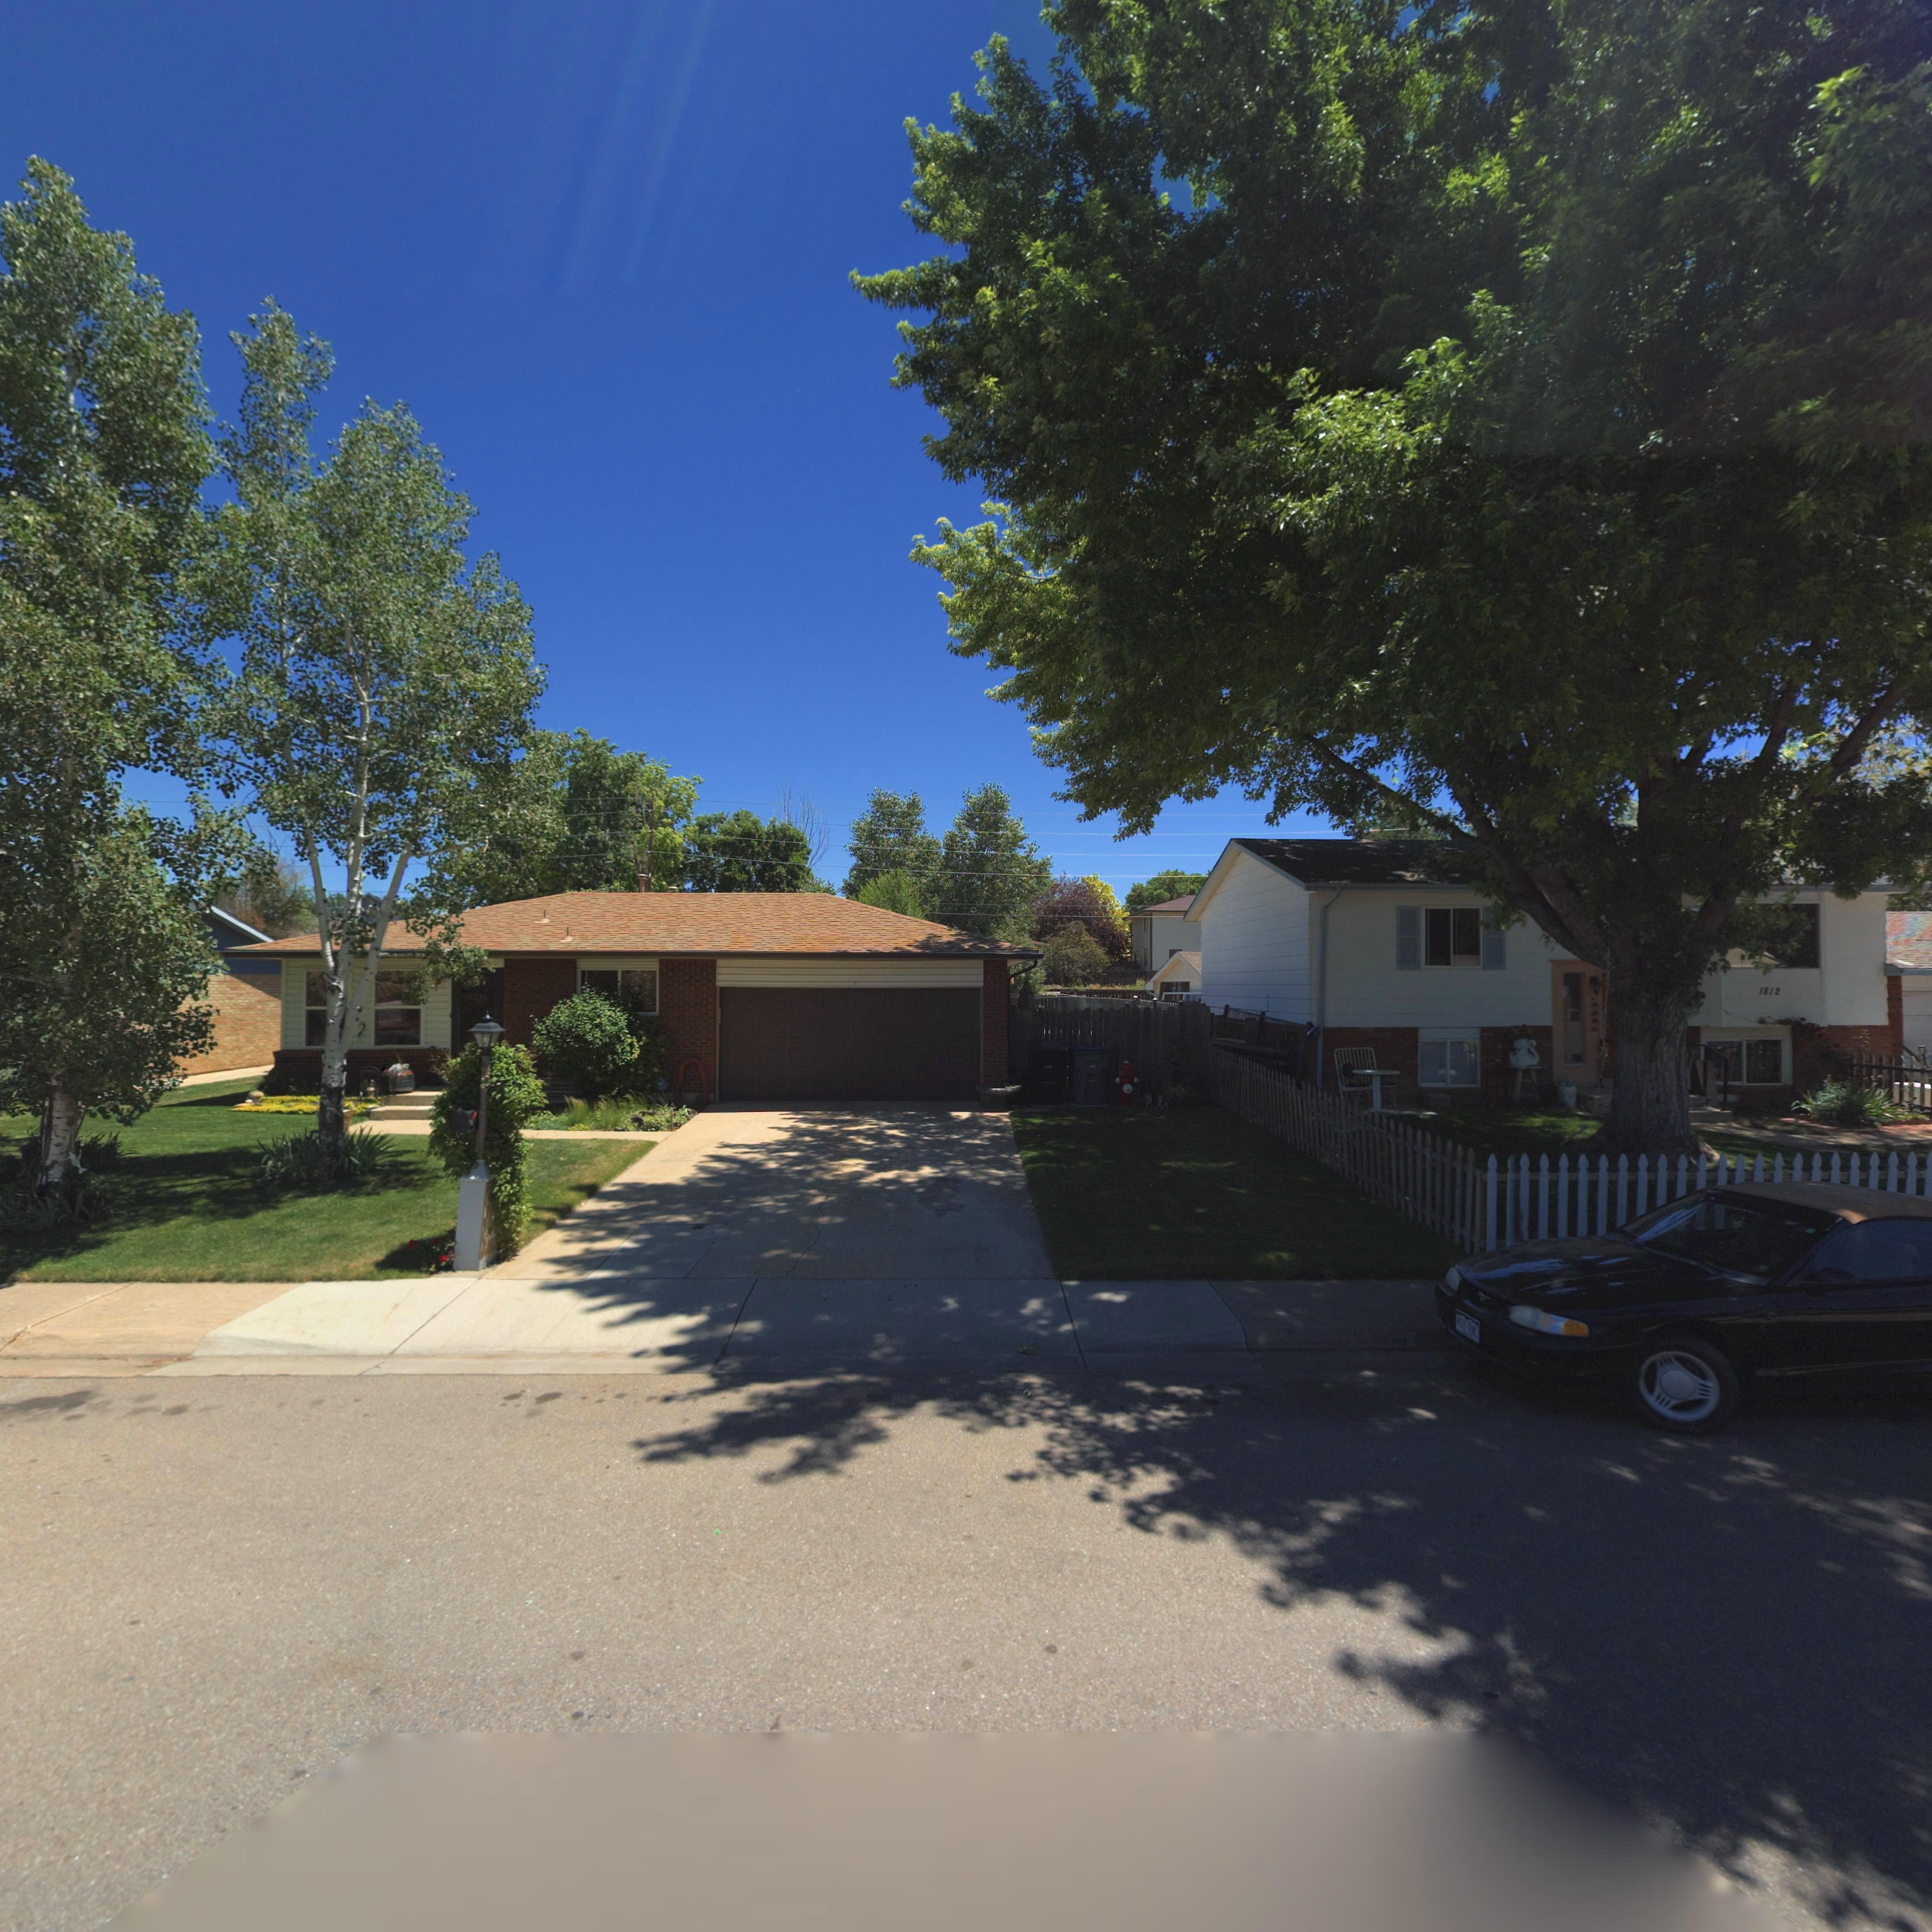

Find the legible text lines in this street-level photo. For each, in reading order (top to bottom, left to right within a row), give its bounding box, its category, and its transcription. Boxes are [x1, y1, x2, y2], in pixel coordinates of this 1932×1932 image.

[1758, 987, 1780, 995] StreetNumber: 1812